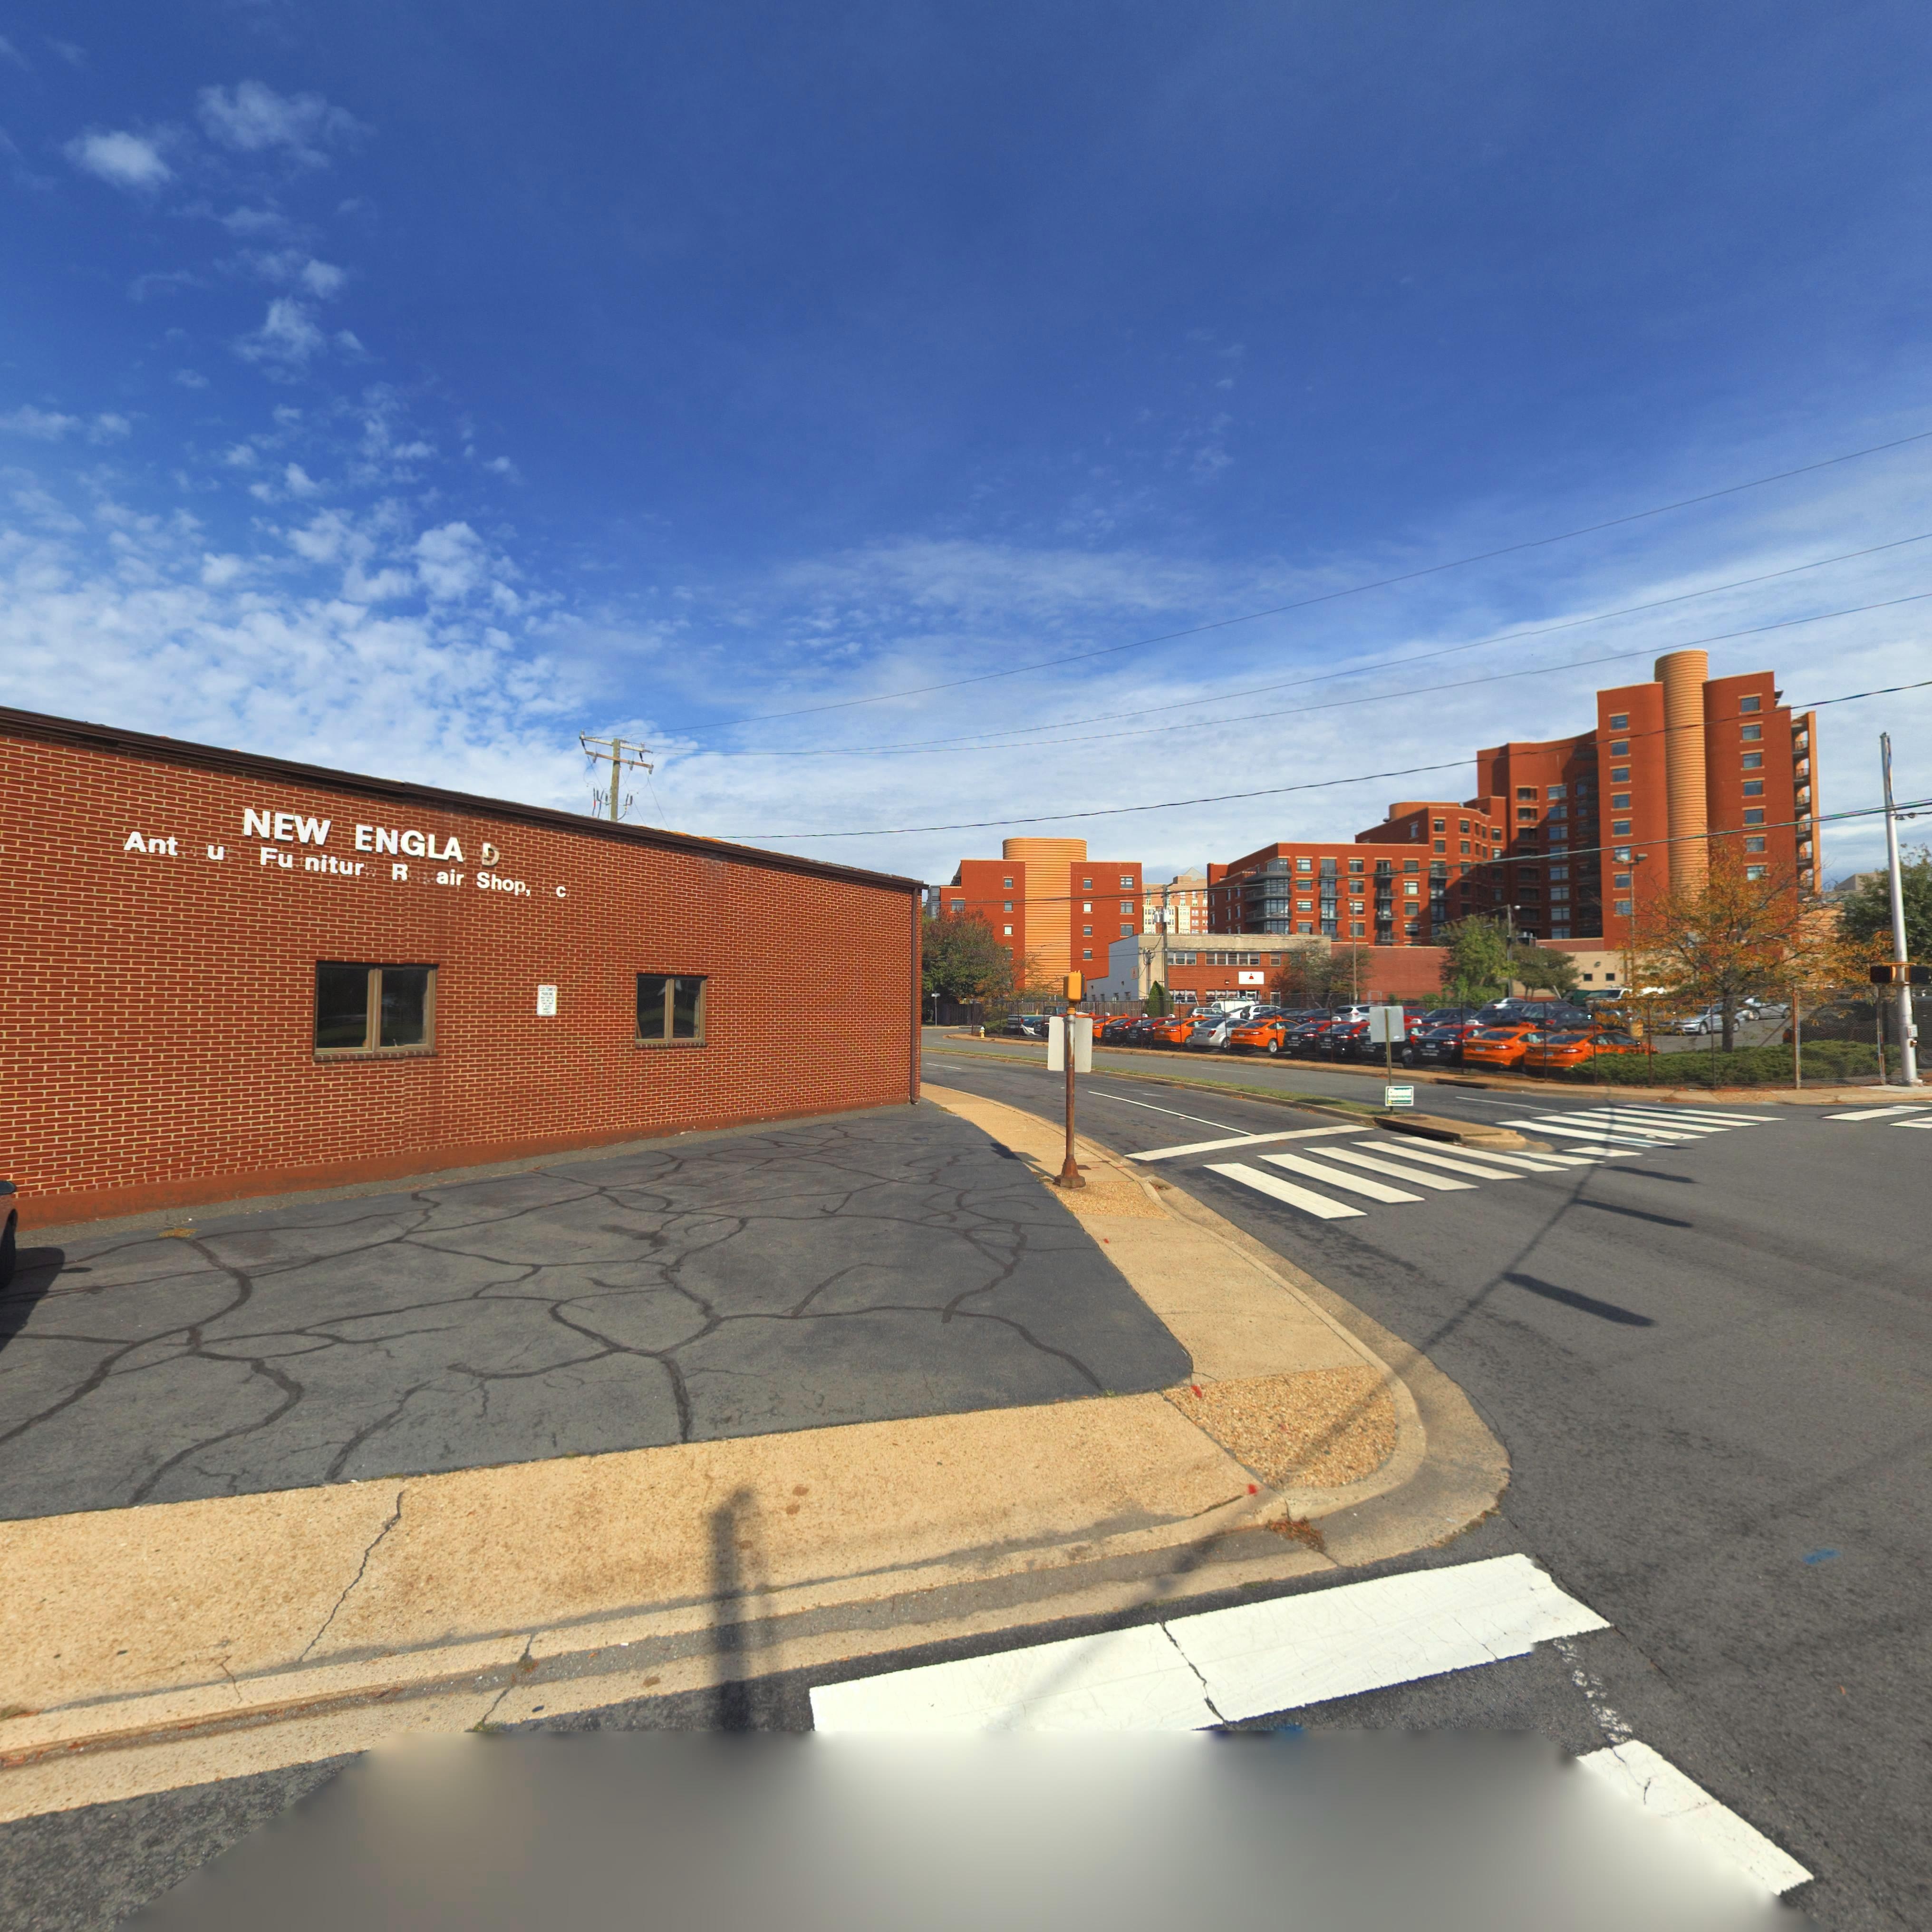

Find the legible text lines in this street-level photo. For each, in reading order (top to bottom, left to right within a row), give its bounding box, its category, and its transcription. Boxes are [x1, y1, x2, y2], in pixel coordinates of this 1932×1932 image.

[121, 830, 179, 858] BusinessName: Ant
[206, 844, 226, 862] BusinessName: u
[259, 845, 366, 877] BusinessName: Fu*nitur
[241, 807, 501, 867] BusinessName: NEW ENGLA D
[391, 862, 532, 898] BusinessName: R**air Shop,
[555, 885, 567, 898] BusinessName: c
[1388, 1088, 1397, 1096] None: Cle